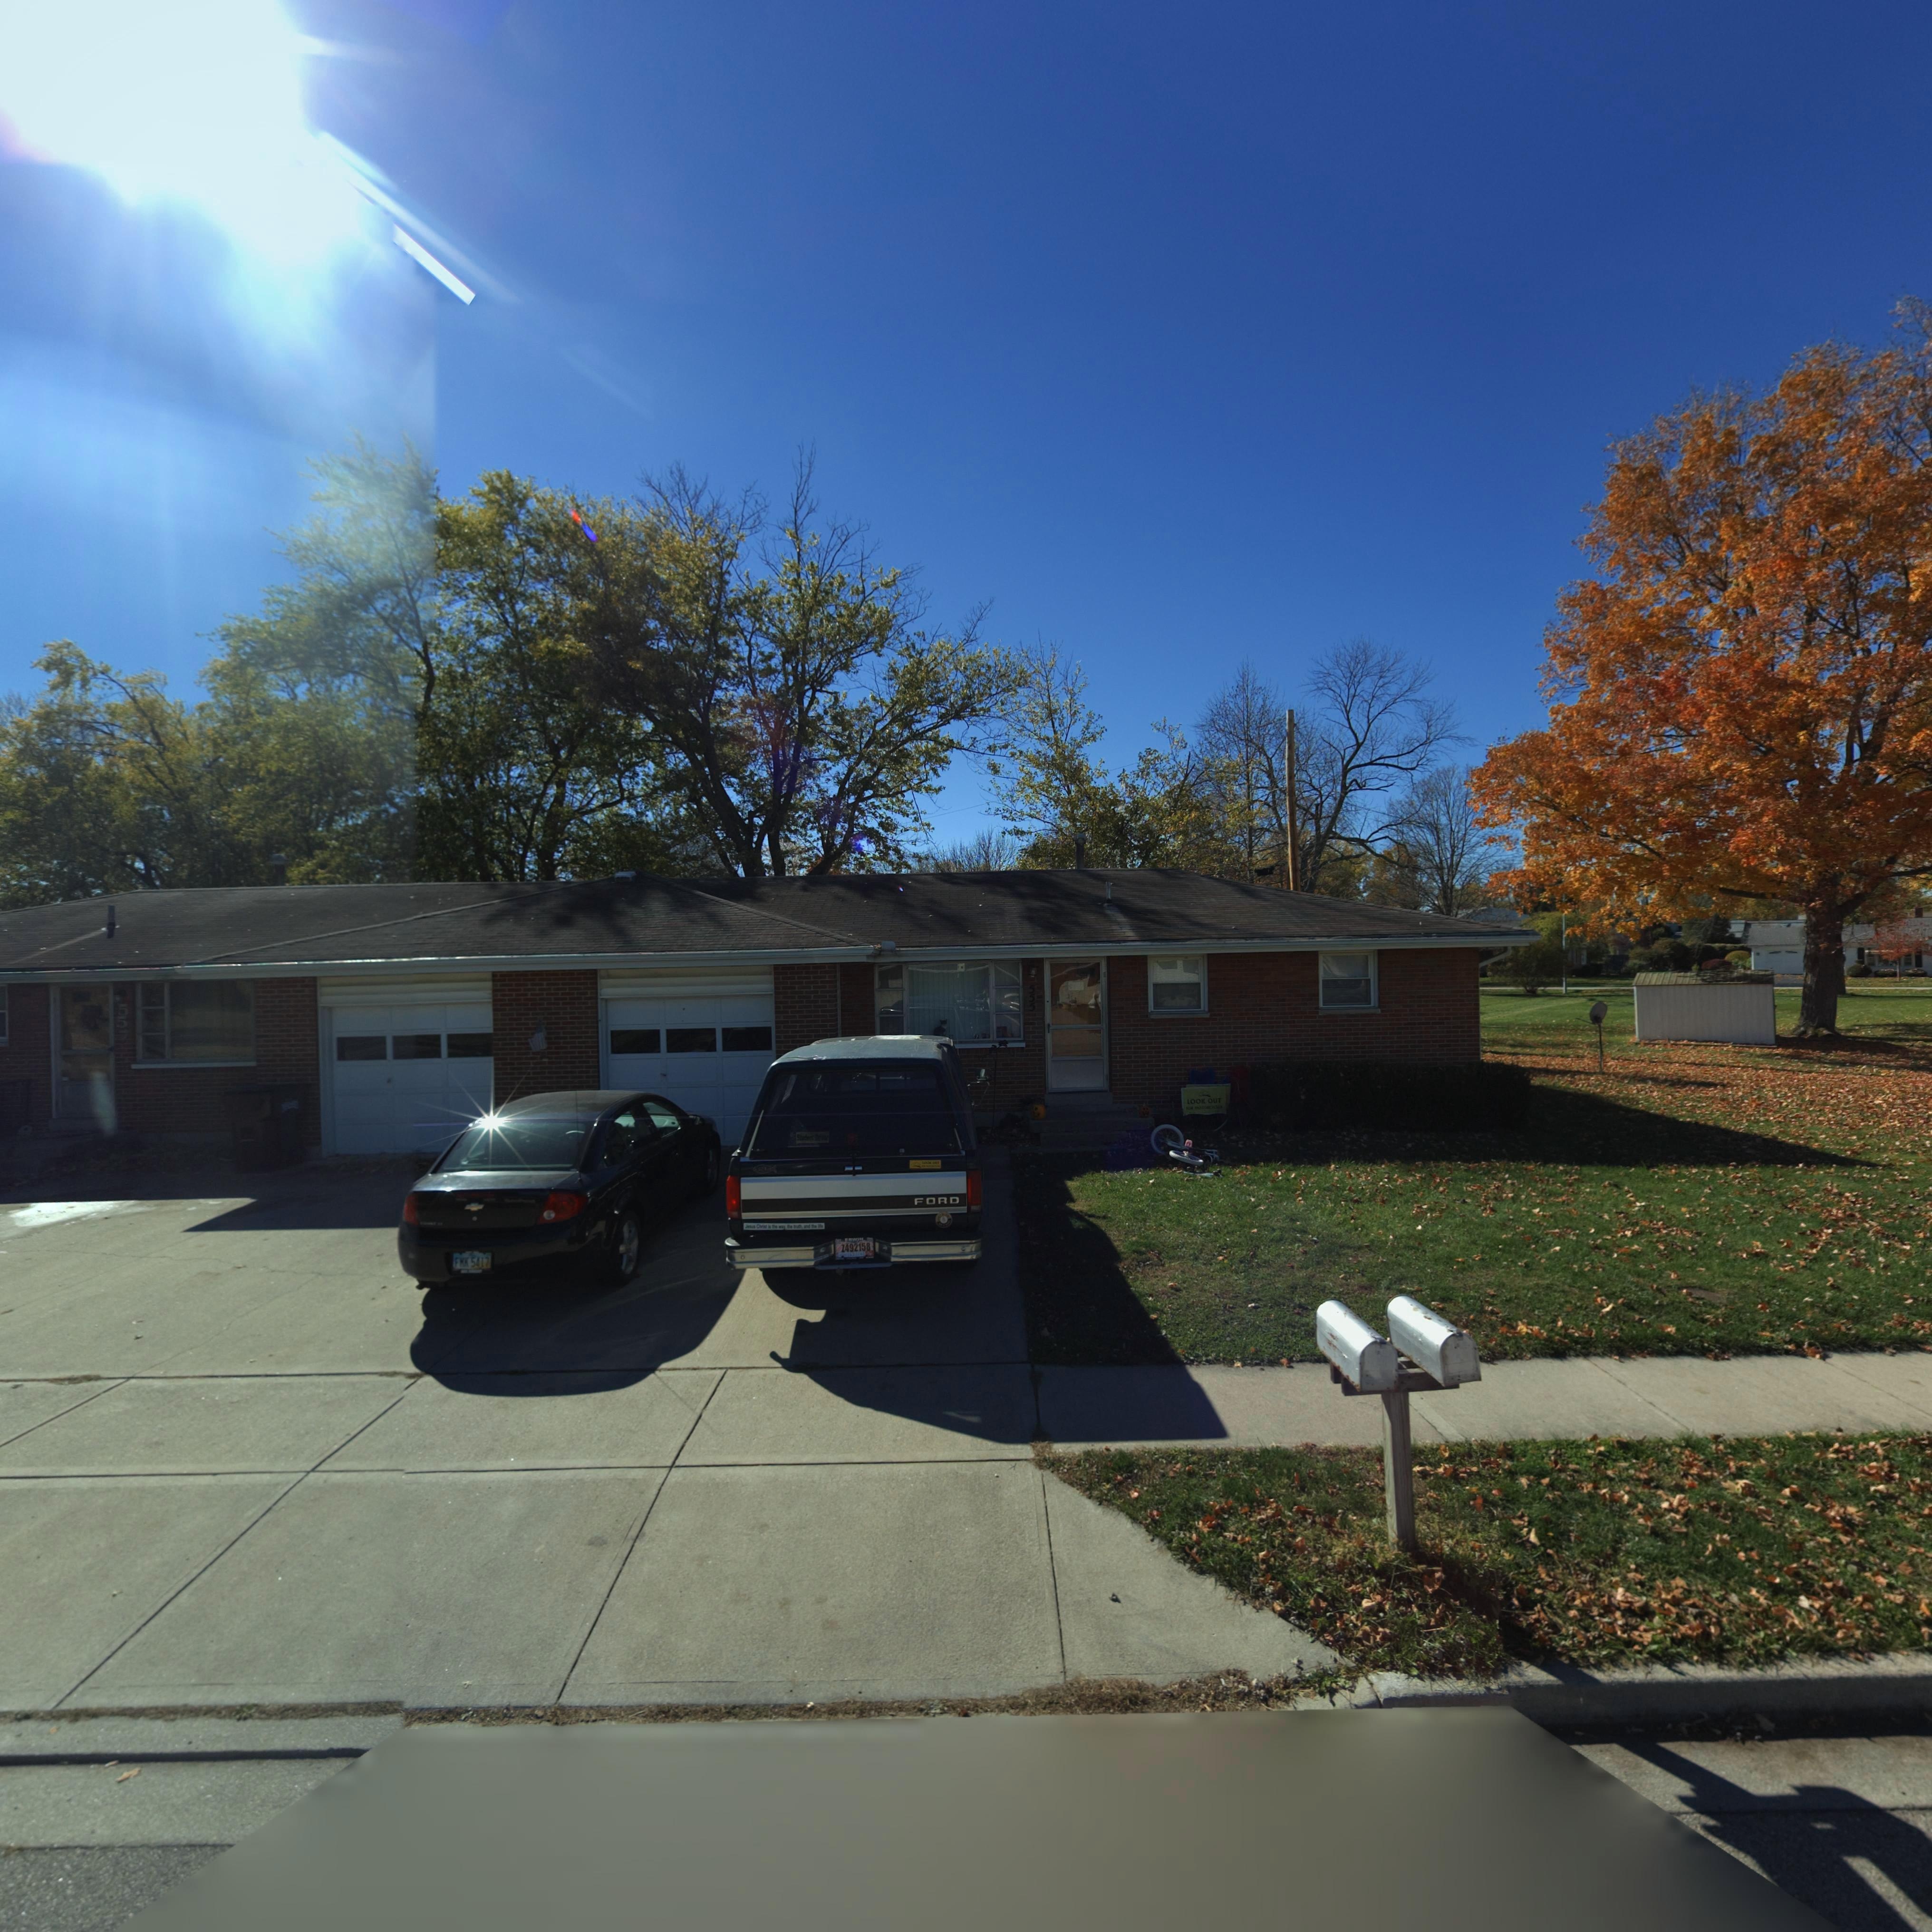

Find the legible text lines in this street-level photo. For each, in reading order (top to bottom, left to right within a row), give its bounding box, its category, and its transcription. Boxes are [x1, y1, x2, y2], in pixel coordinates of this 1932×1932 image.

[1028, 985, 1035, 1012] StreetNumber: 555
[116, 1003, 129, 1046] StreetNumber: 557